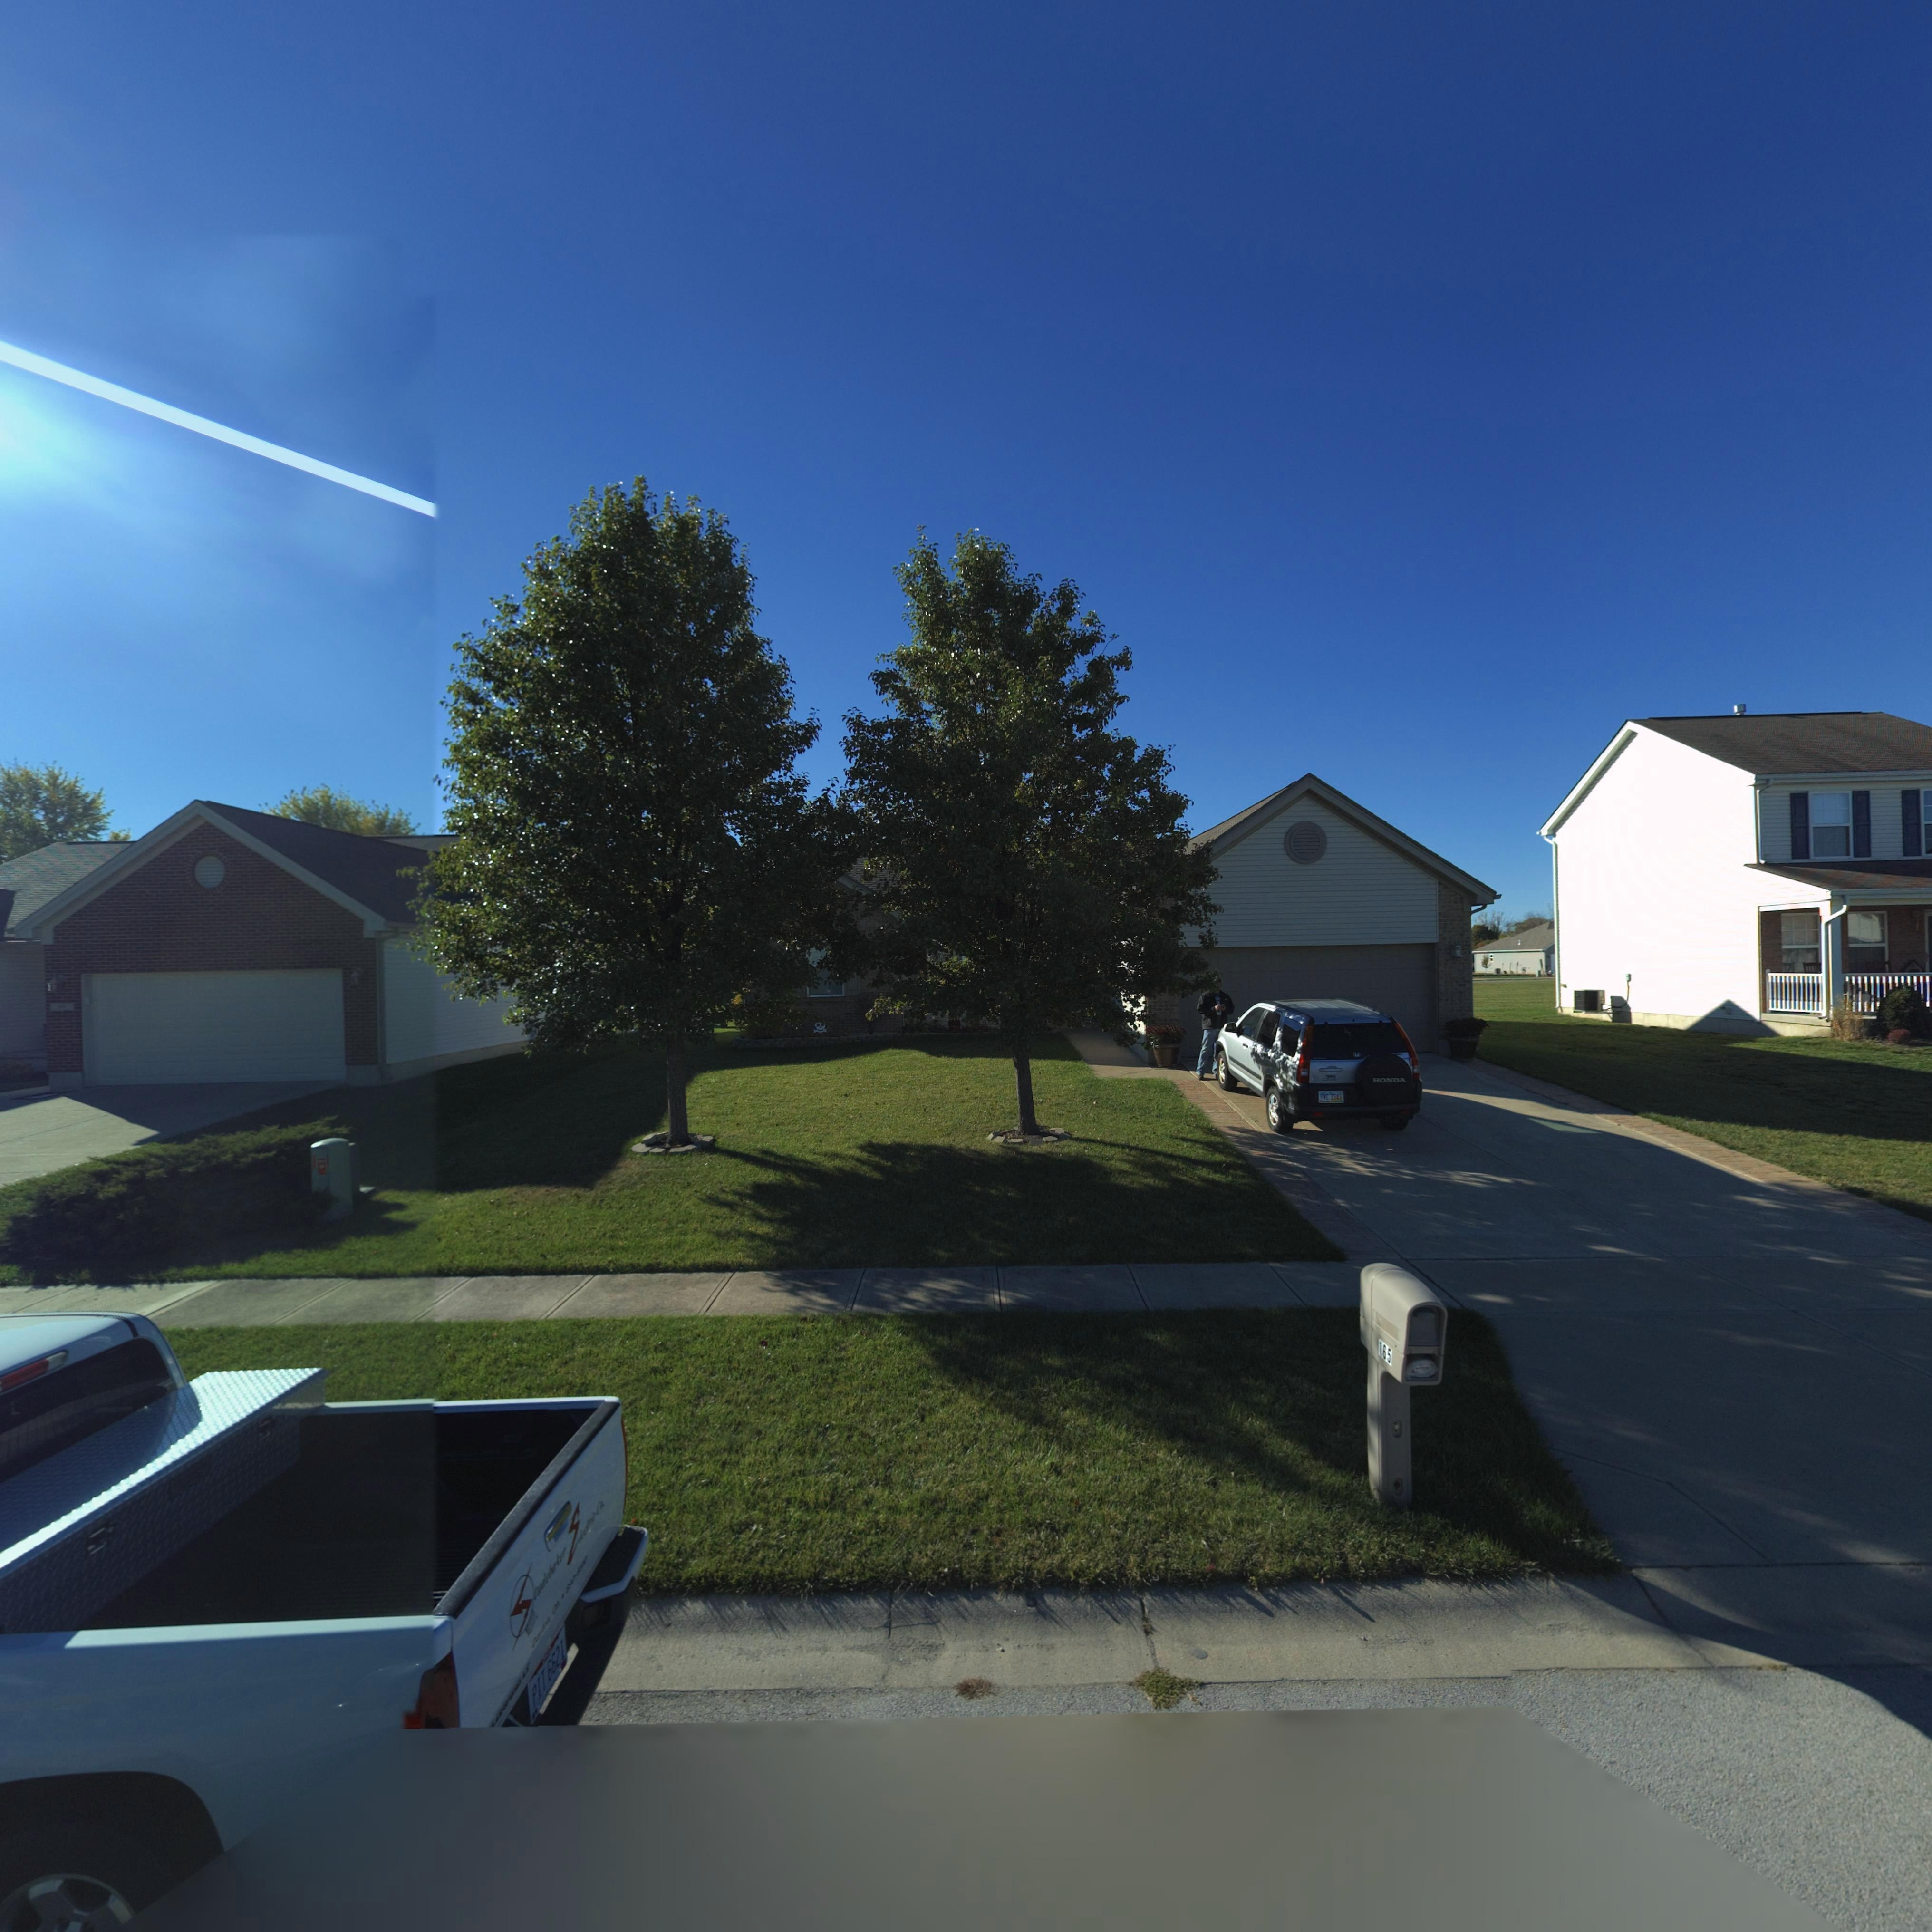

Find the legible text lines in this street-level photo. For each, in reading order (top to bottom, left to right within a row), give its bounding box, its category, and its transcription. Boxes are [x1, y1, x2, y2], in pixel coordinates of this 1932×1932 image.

[1379, 1340, 1392, 1365] StreetNumber: 165